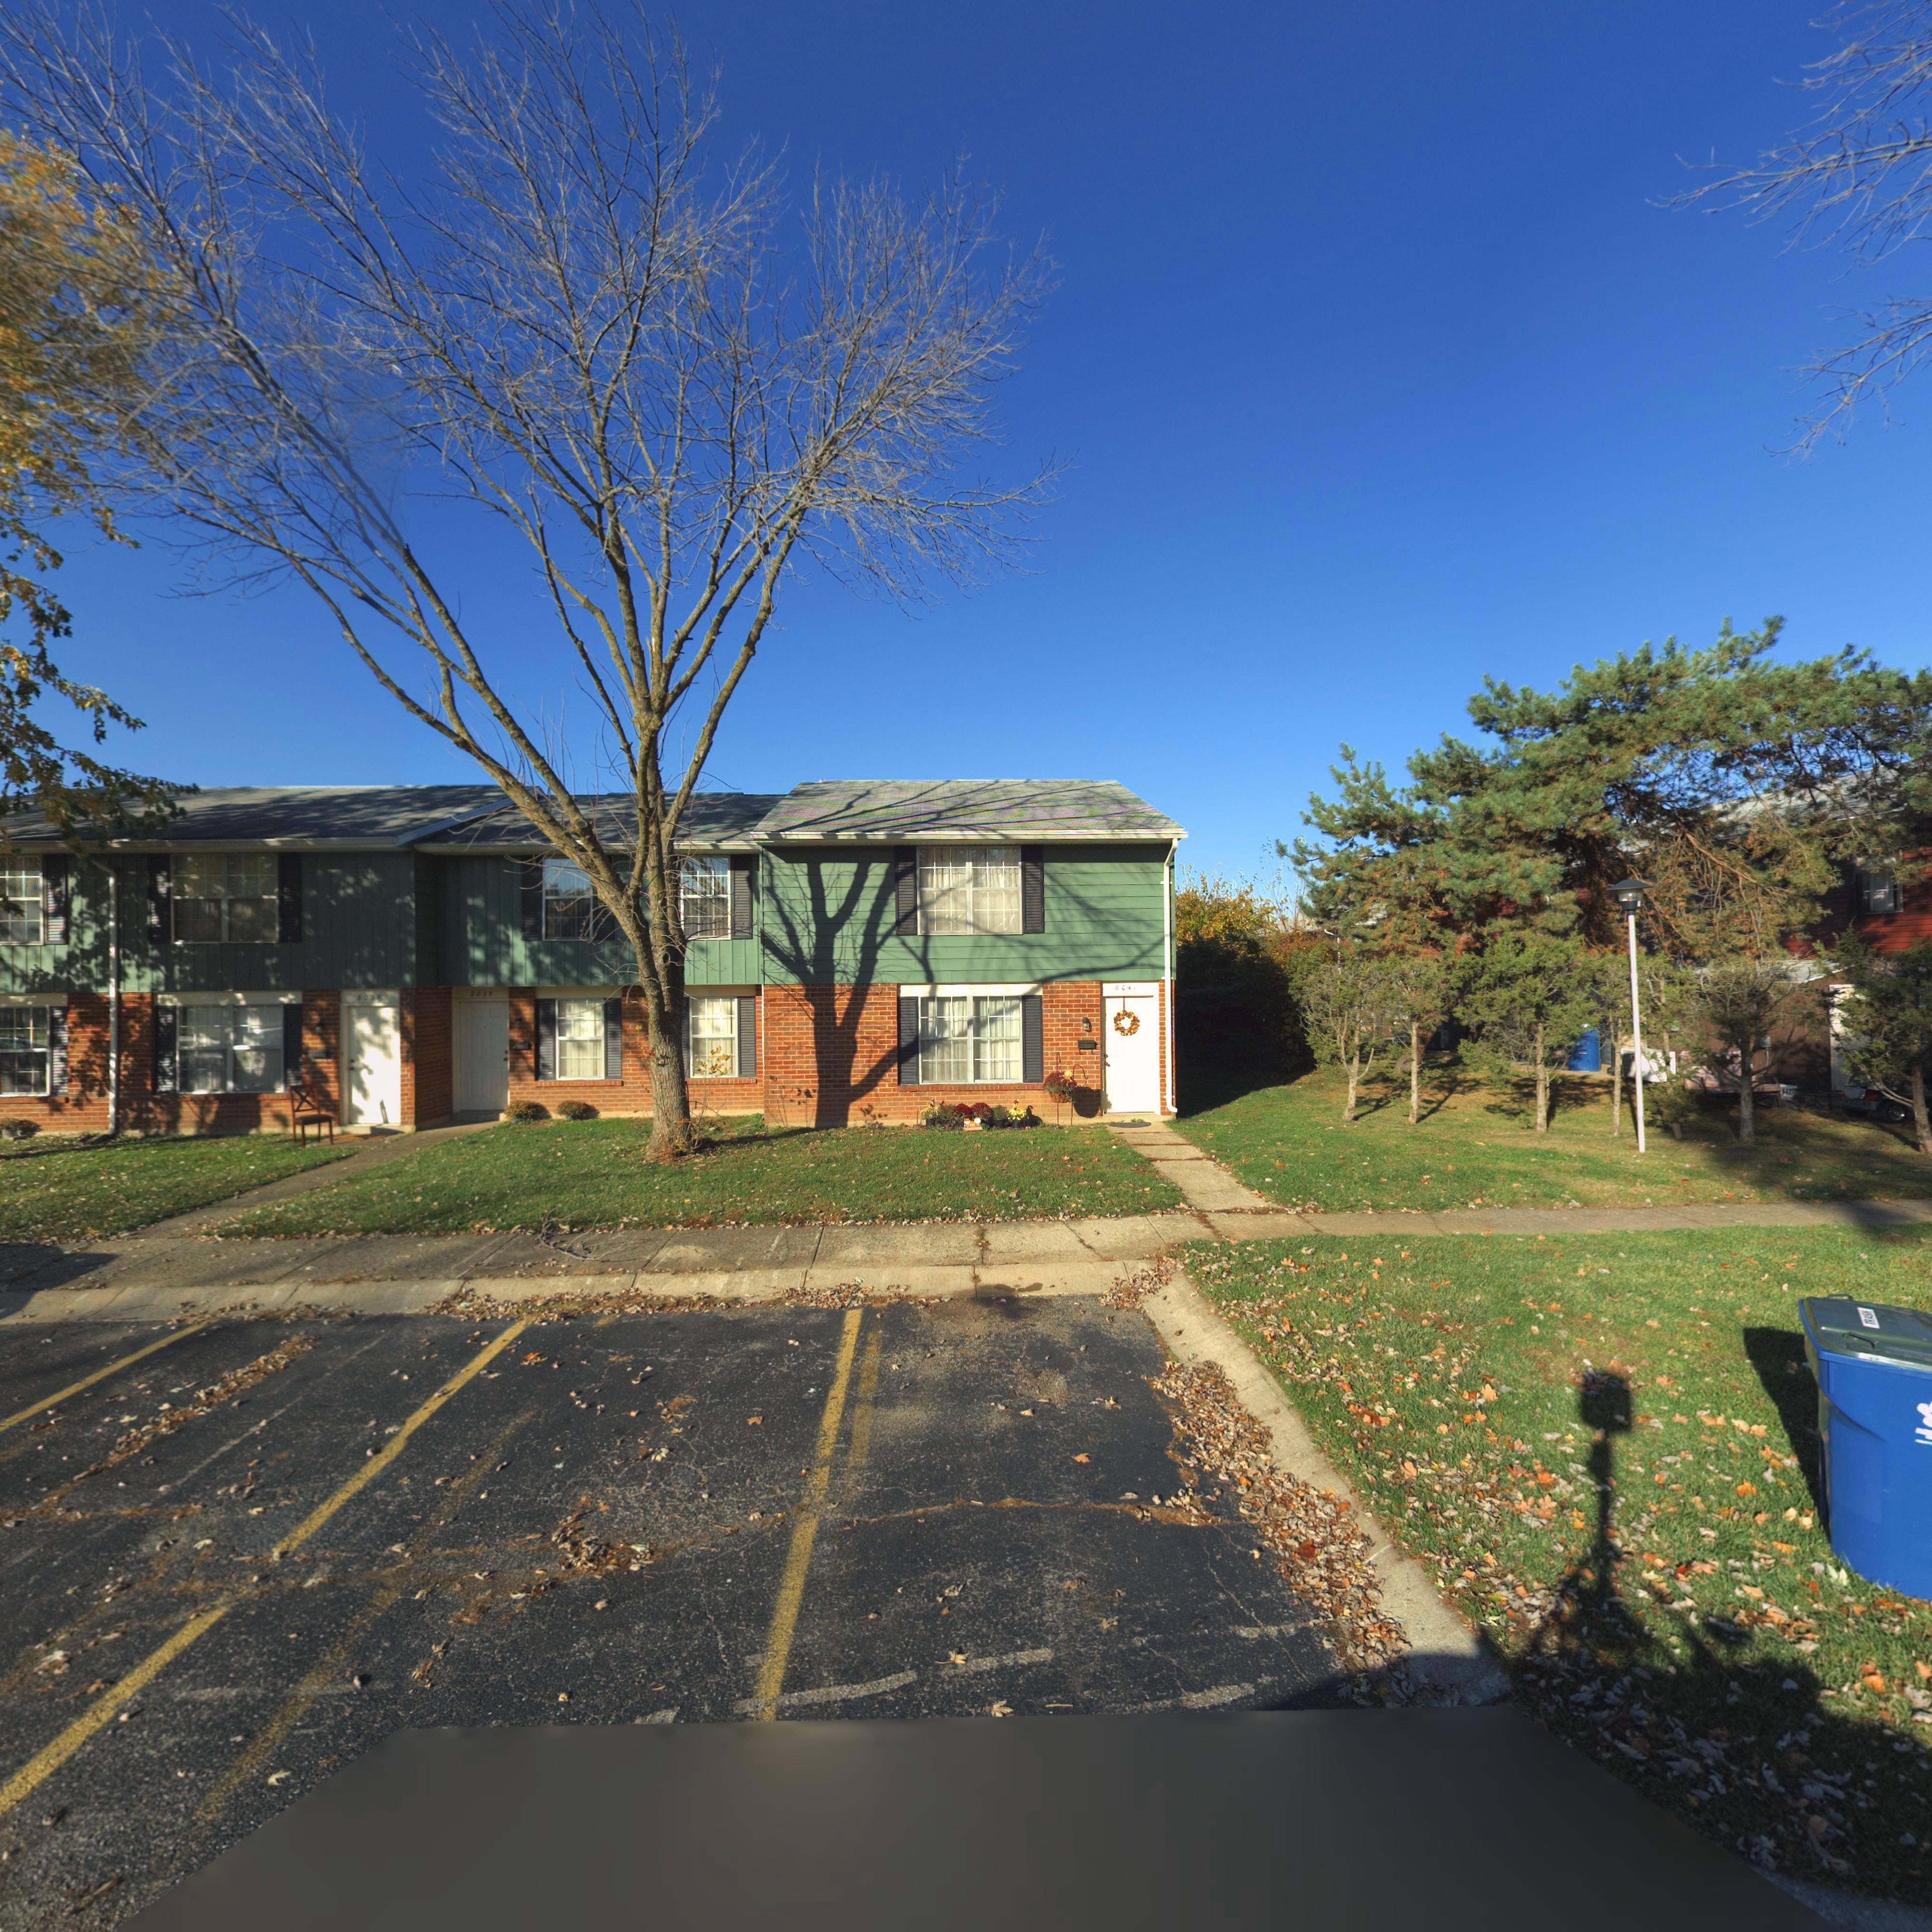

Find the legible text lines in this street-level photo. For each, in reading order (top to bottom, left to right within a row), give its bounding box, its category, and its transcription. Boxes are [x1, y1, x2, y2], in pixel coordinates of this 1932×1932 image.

[1114, 984, 1138, 991] StreetNumber: 804*
[356, 994, 381, 1001] StreetNumber: 8037\
[469, 989, 493, 998] StreetNumber: 8039